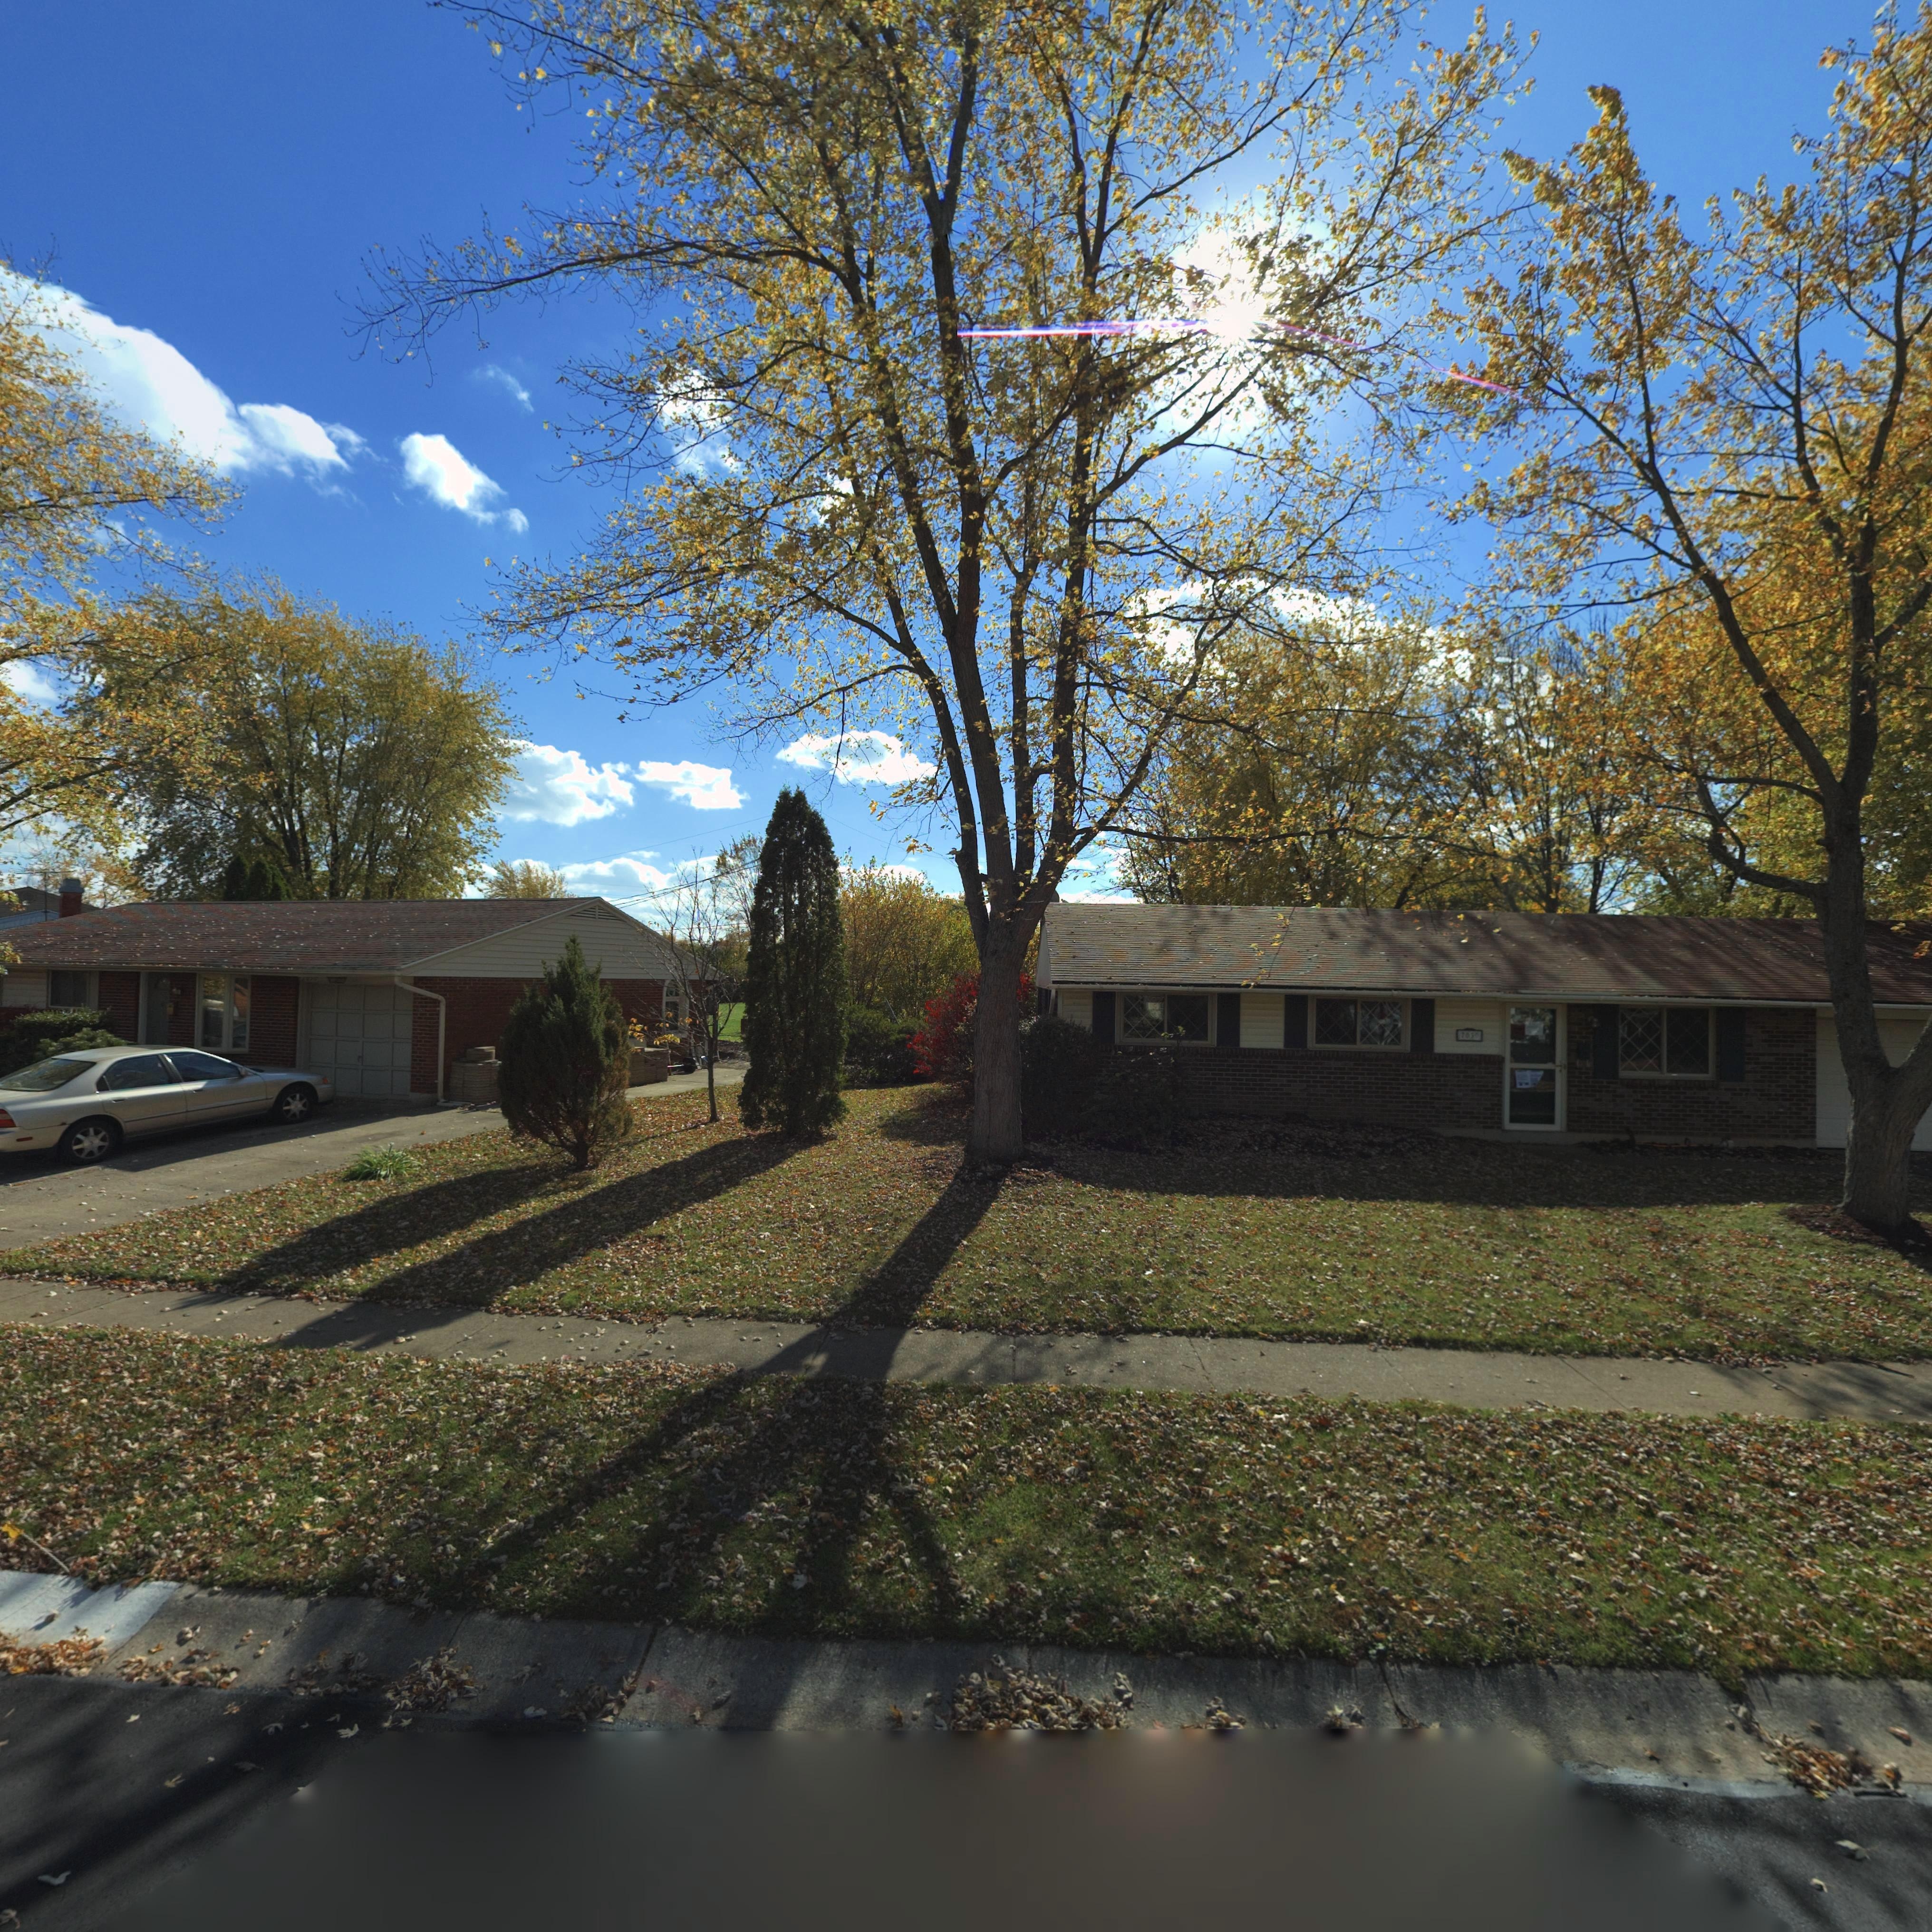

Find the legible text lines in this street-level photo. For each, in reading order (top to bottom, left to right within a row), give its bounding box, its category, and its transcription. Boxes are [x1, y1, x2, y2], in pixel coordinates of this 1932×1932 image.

[1459, 1031, 1481, 1041] StreetNumber: 70**